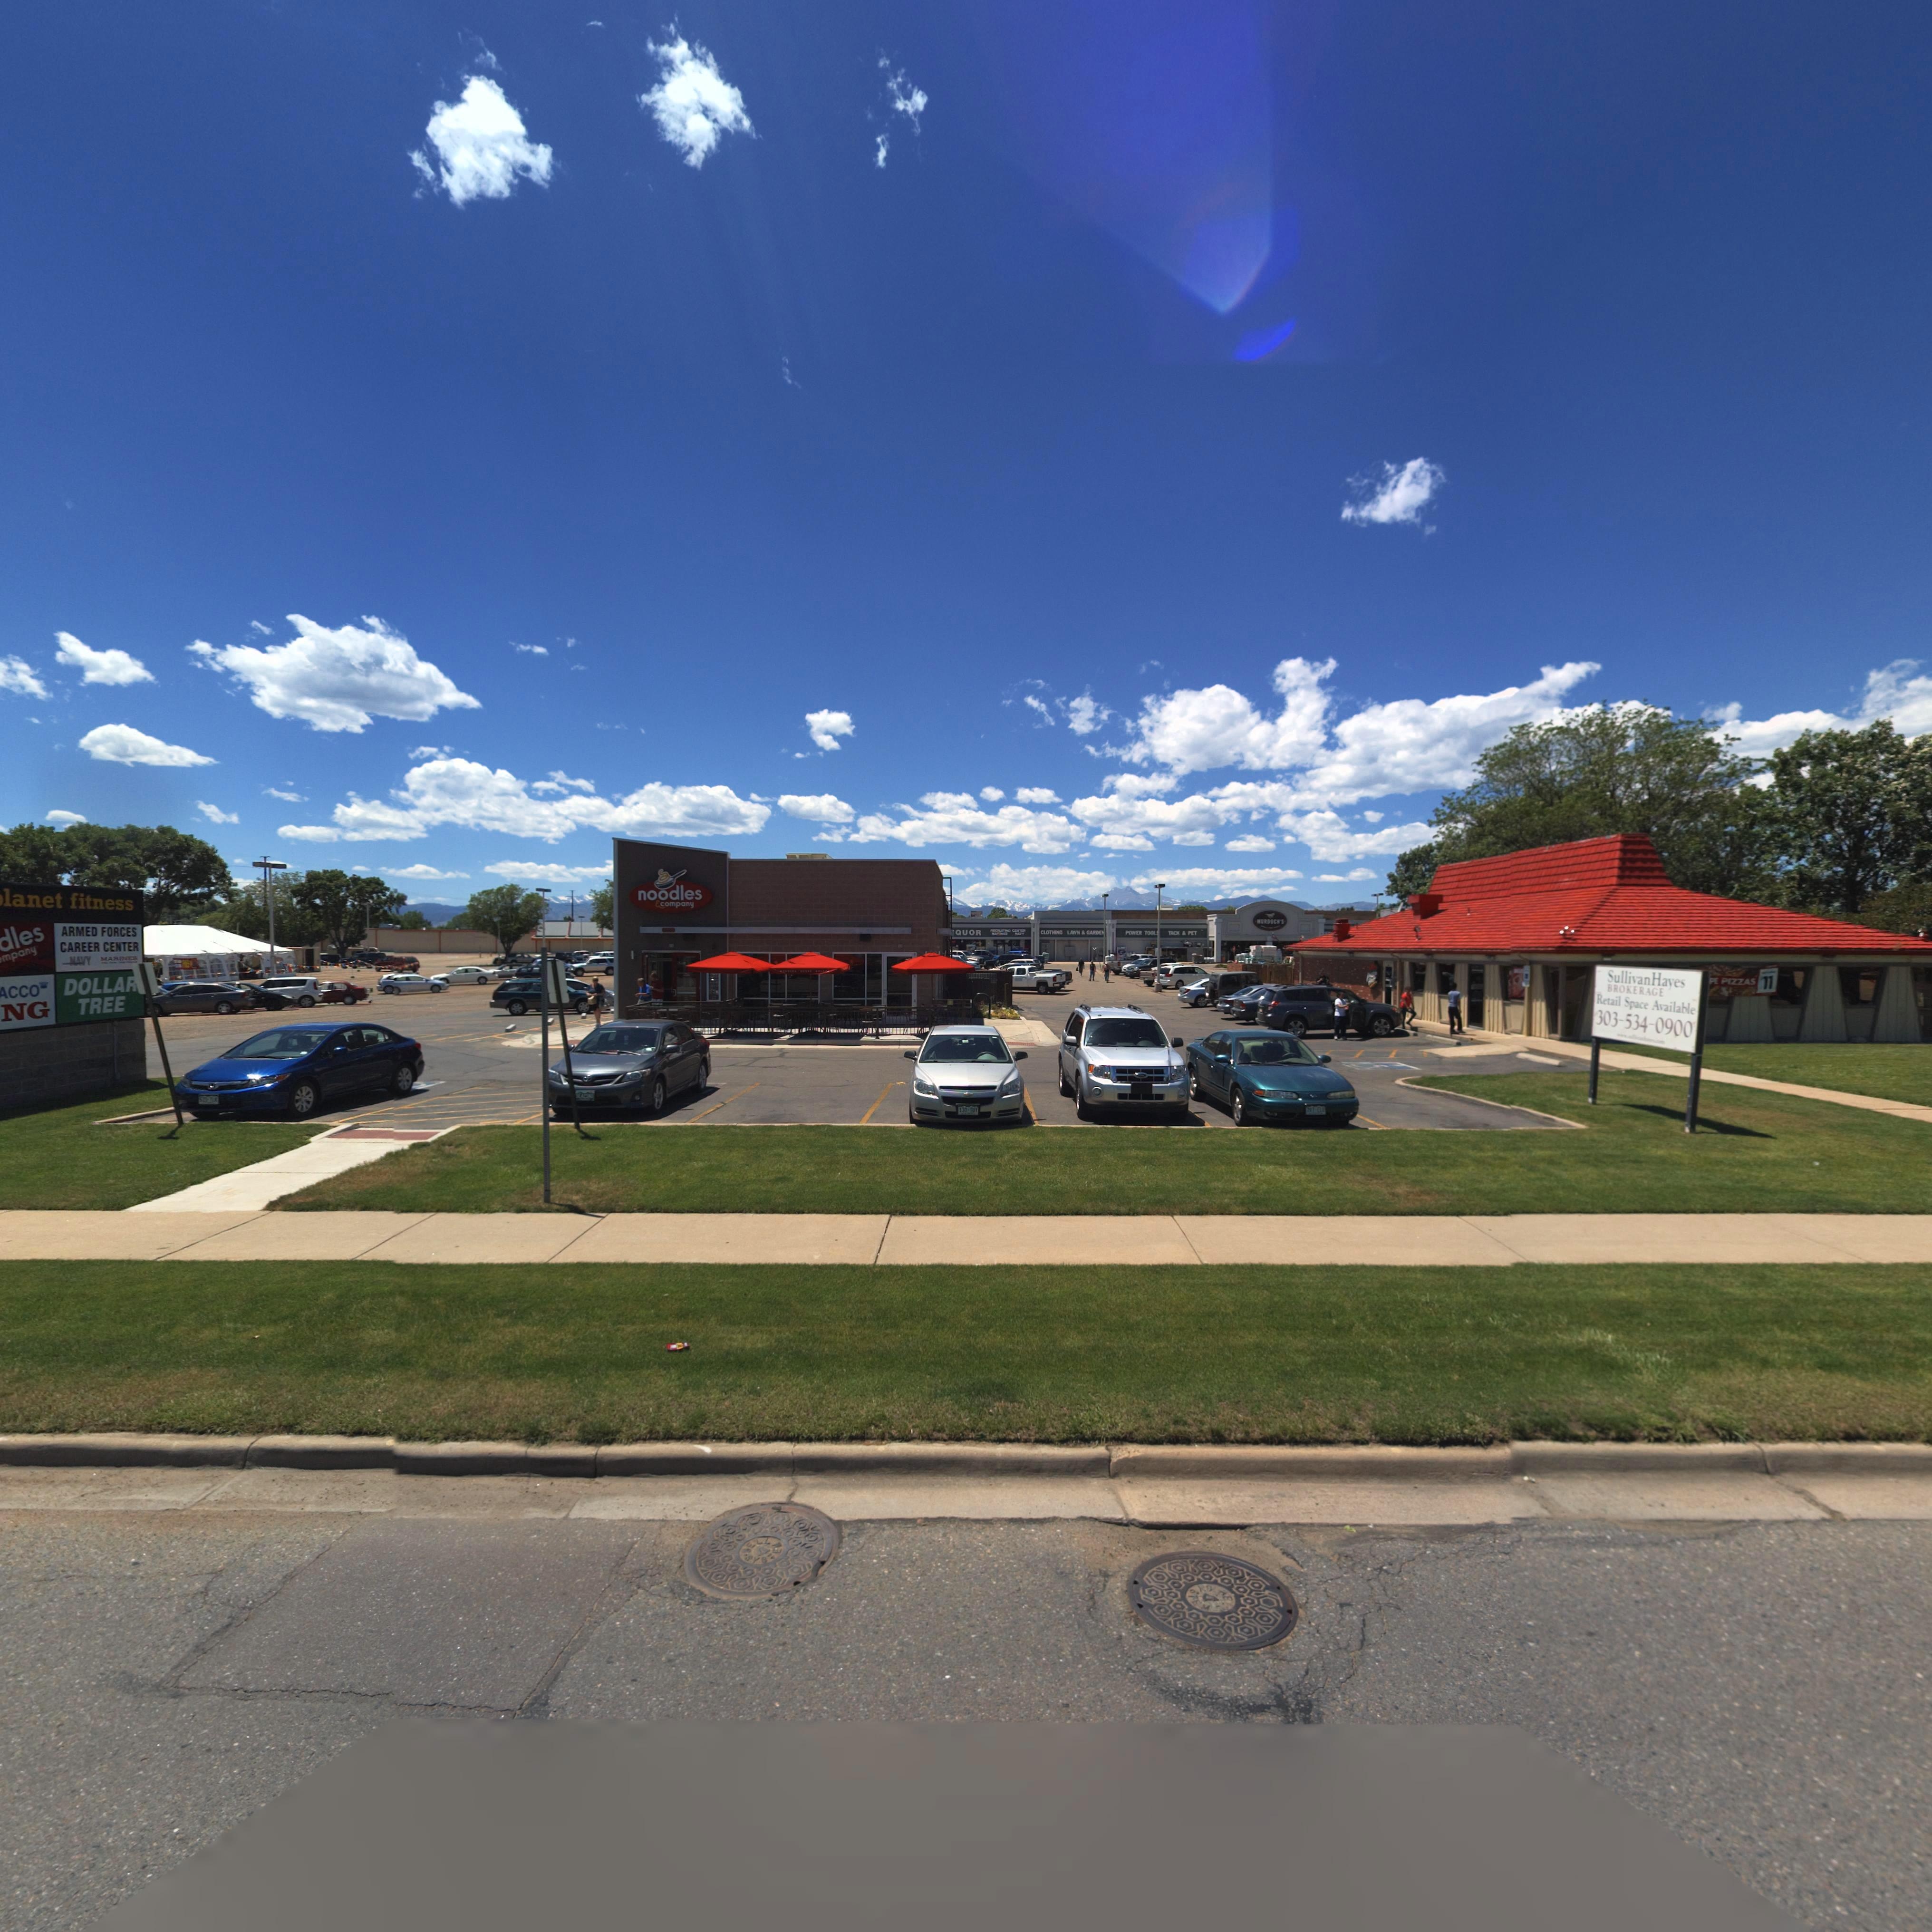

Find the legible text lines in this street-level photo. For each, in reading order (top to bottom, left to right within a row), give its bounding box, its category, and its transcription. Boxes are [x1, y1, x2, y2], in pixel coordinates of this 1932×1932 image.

[3, 888, 134, 911] BusinessName: lanet fitness
[638, 884, 702, 900] BusinessName: noodles
[1256, 919, 1284, 924] BusinessName: *UR*OC**S
[9, 926, 44, 949] BusinessName: les
[61, 926, 137, 937] BusinessName: ARMED FORCES
[59, 941, 139, 953] BusinessName: CAREER CENTER
[8, 984, 40, 998] BusinessName: CCO
[63, 976, 137, 996] BusinessName: DOLLA*
[1, 1001, 50, 1022] BusinessName: NG
[77, 995, 126, 1015] BusinessName: TREE